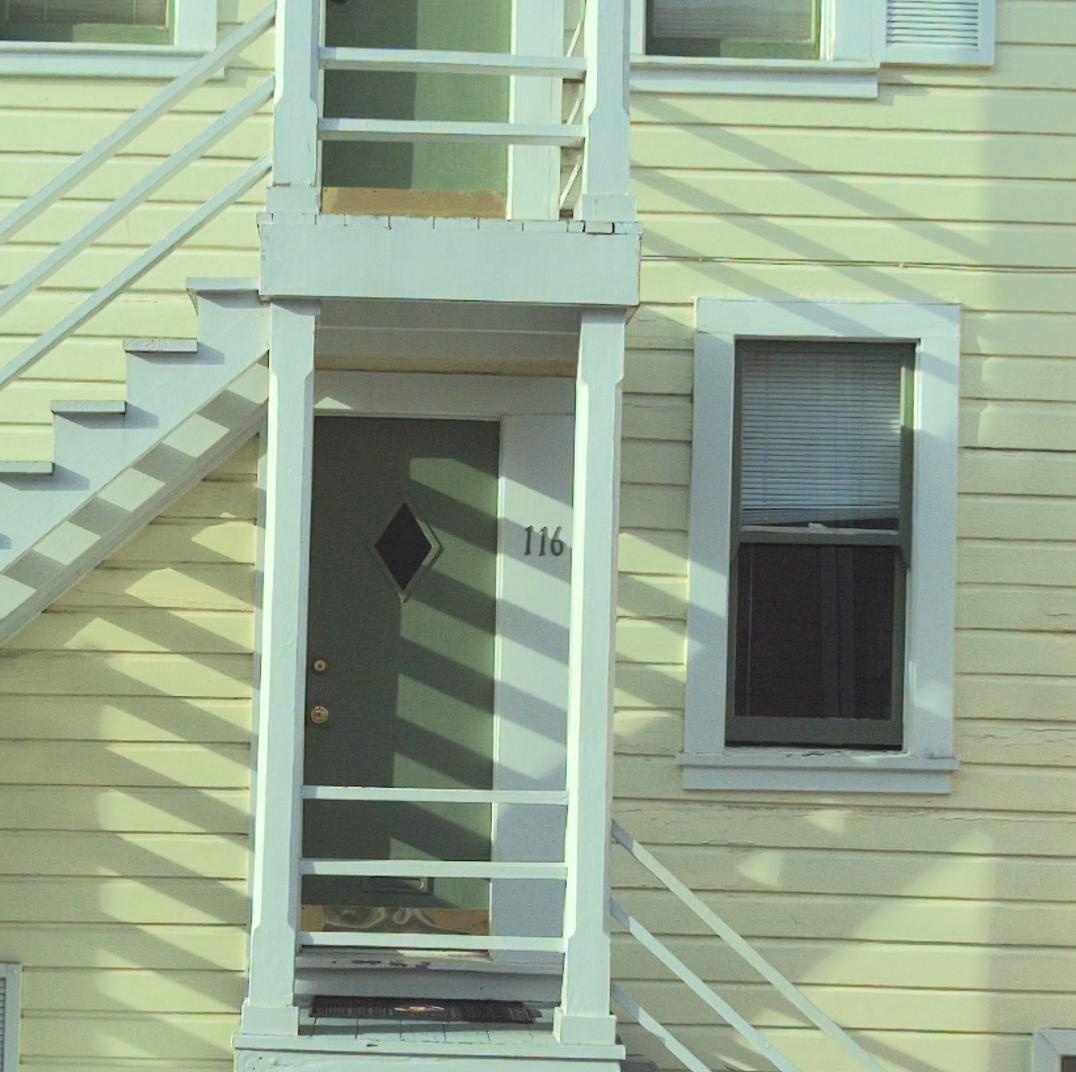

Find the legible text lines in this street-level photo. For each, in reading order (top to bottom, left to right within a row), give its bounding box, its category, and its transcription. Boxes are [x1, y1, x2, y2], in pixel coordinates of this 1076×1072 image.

[521, 523, 567, 559] StreetNumber: 116